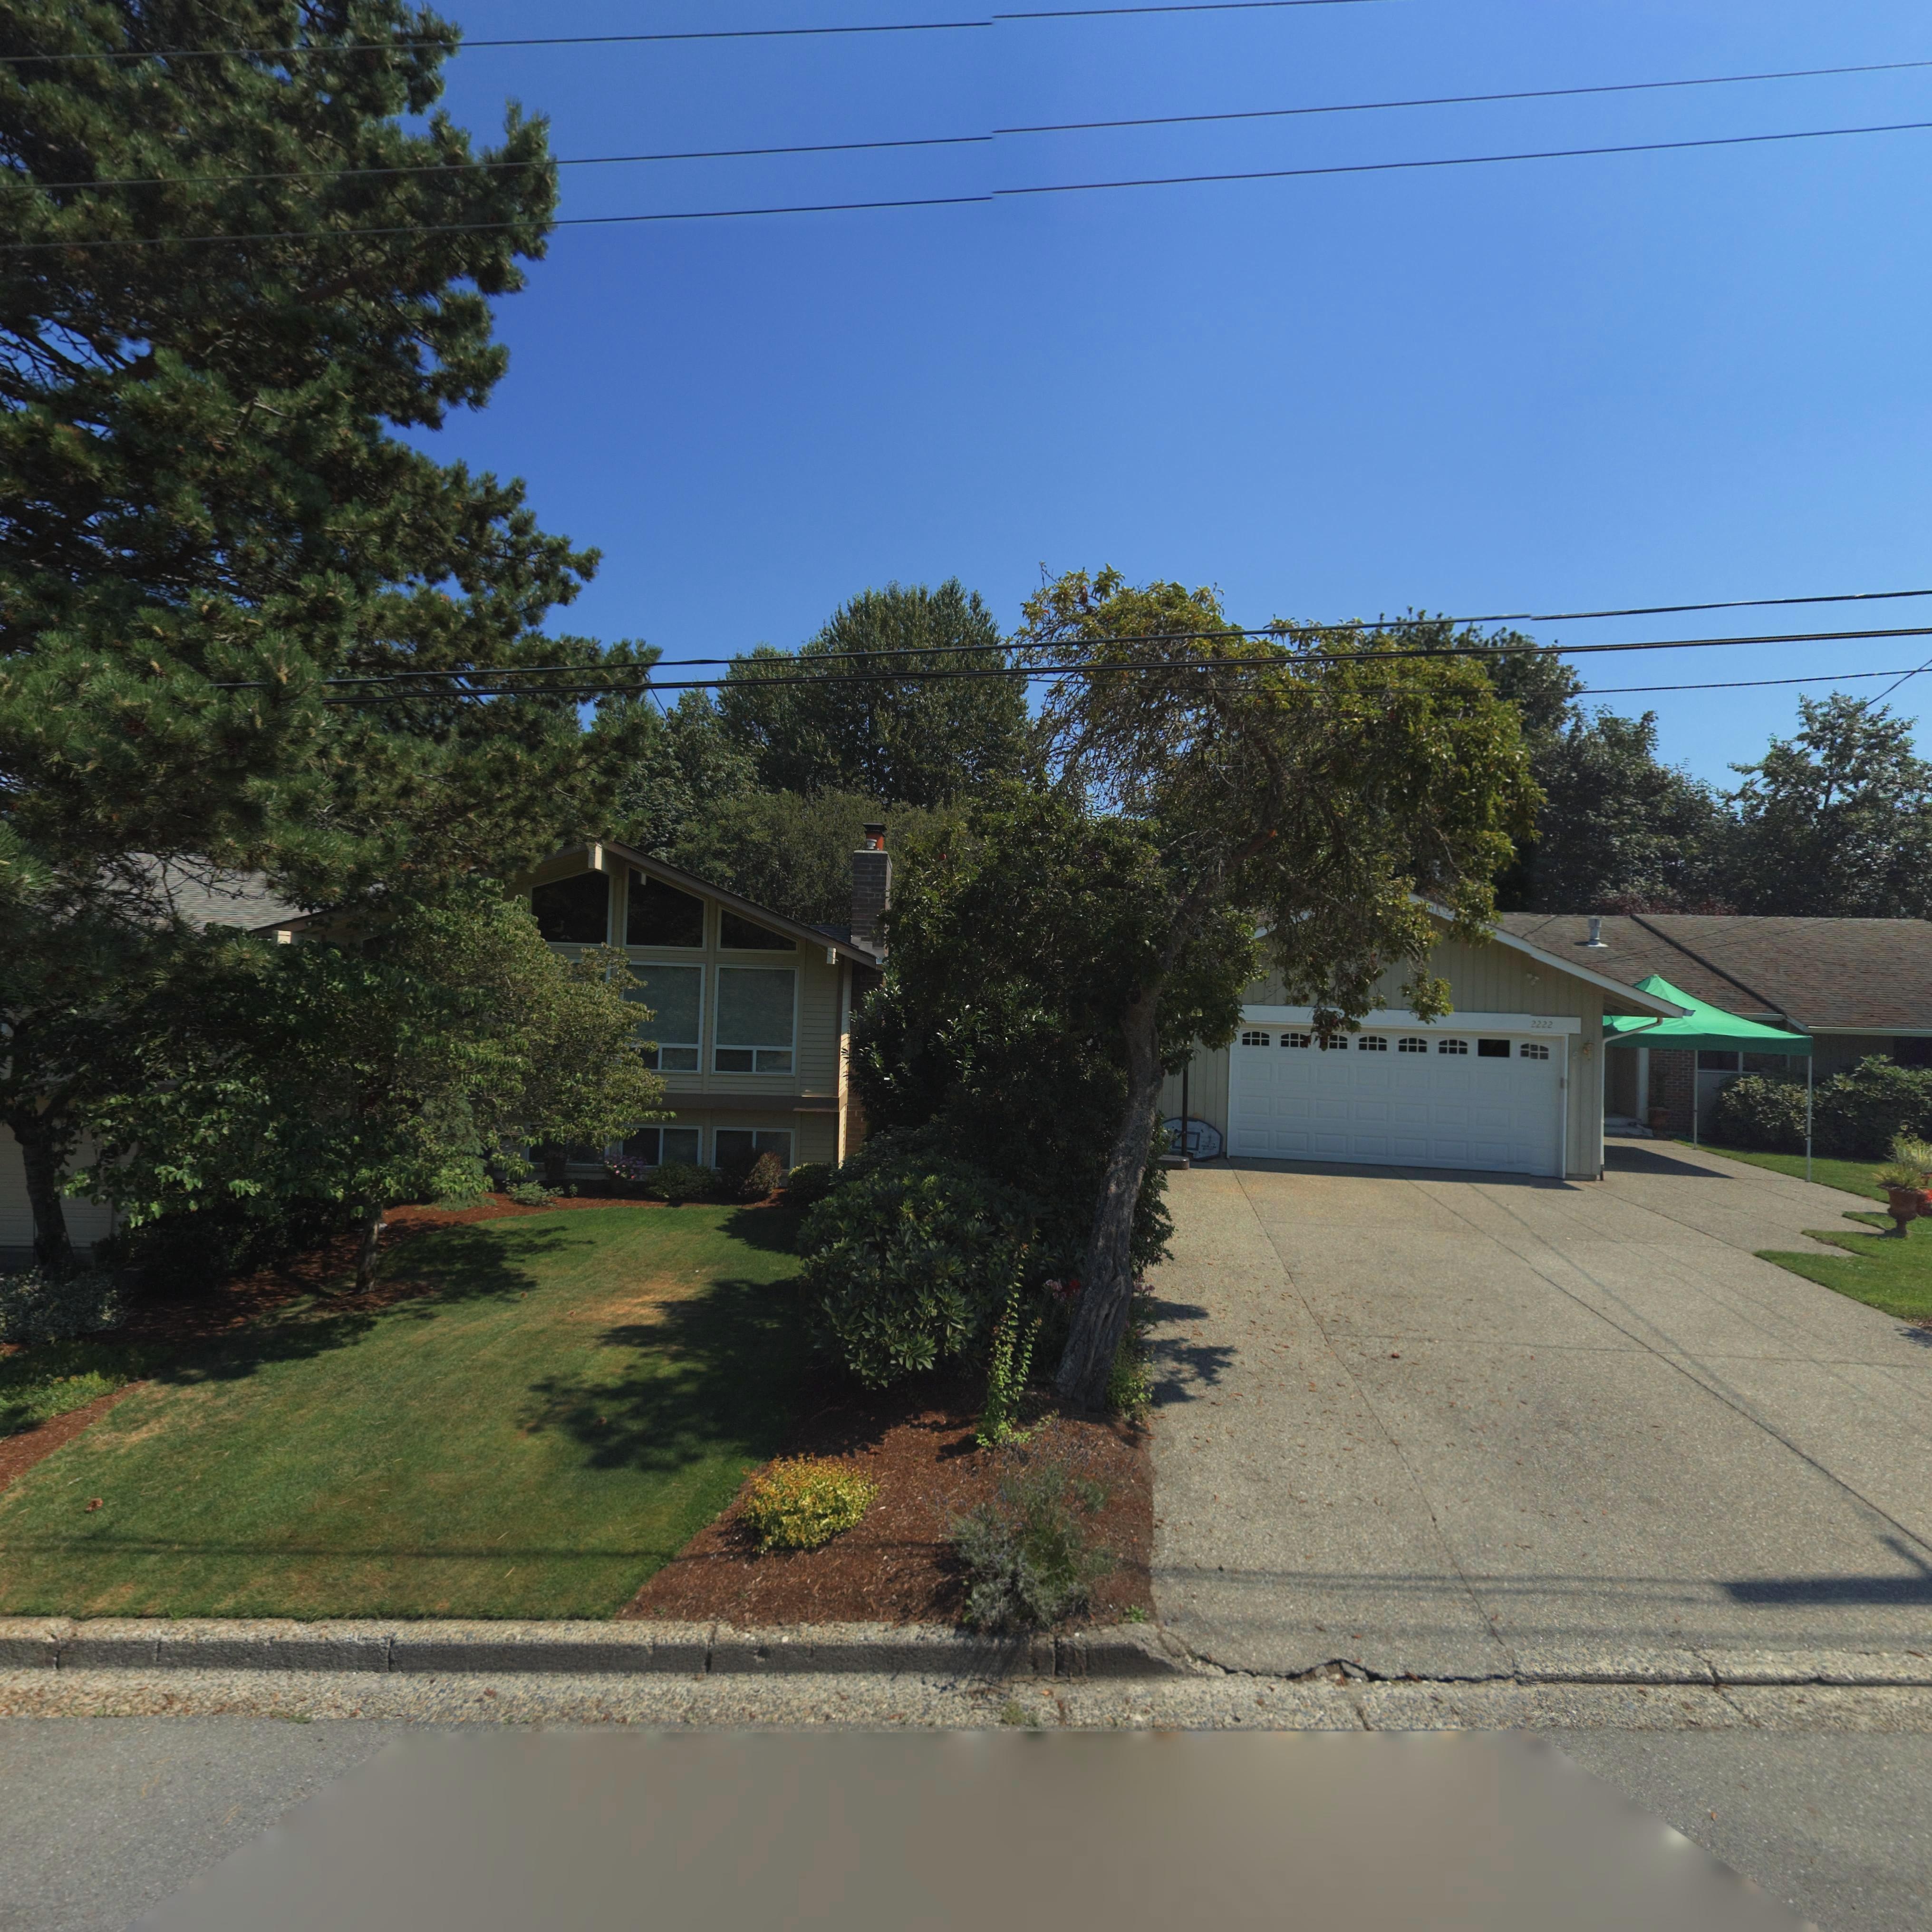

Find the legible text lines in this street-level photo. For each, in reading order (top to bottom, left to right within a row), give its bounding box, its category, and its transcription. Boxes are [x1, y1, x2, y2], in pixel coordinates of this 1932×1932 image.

[1529, 1019, 1555, 1031] StreetNumber: 2222